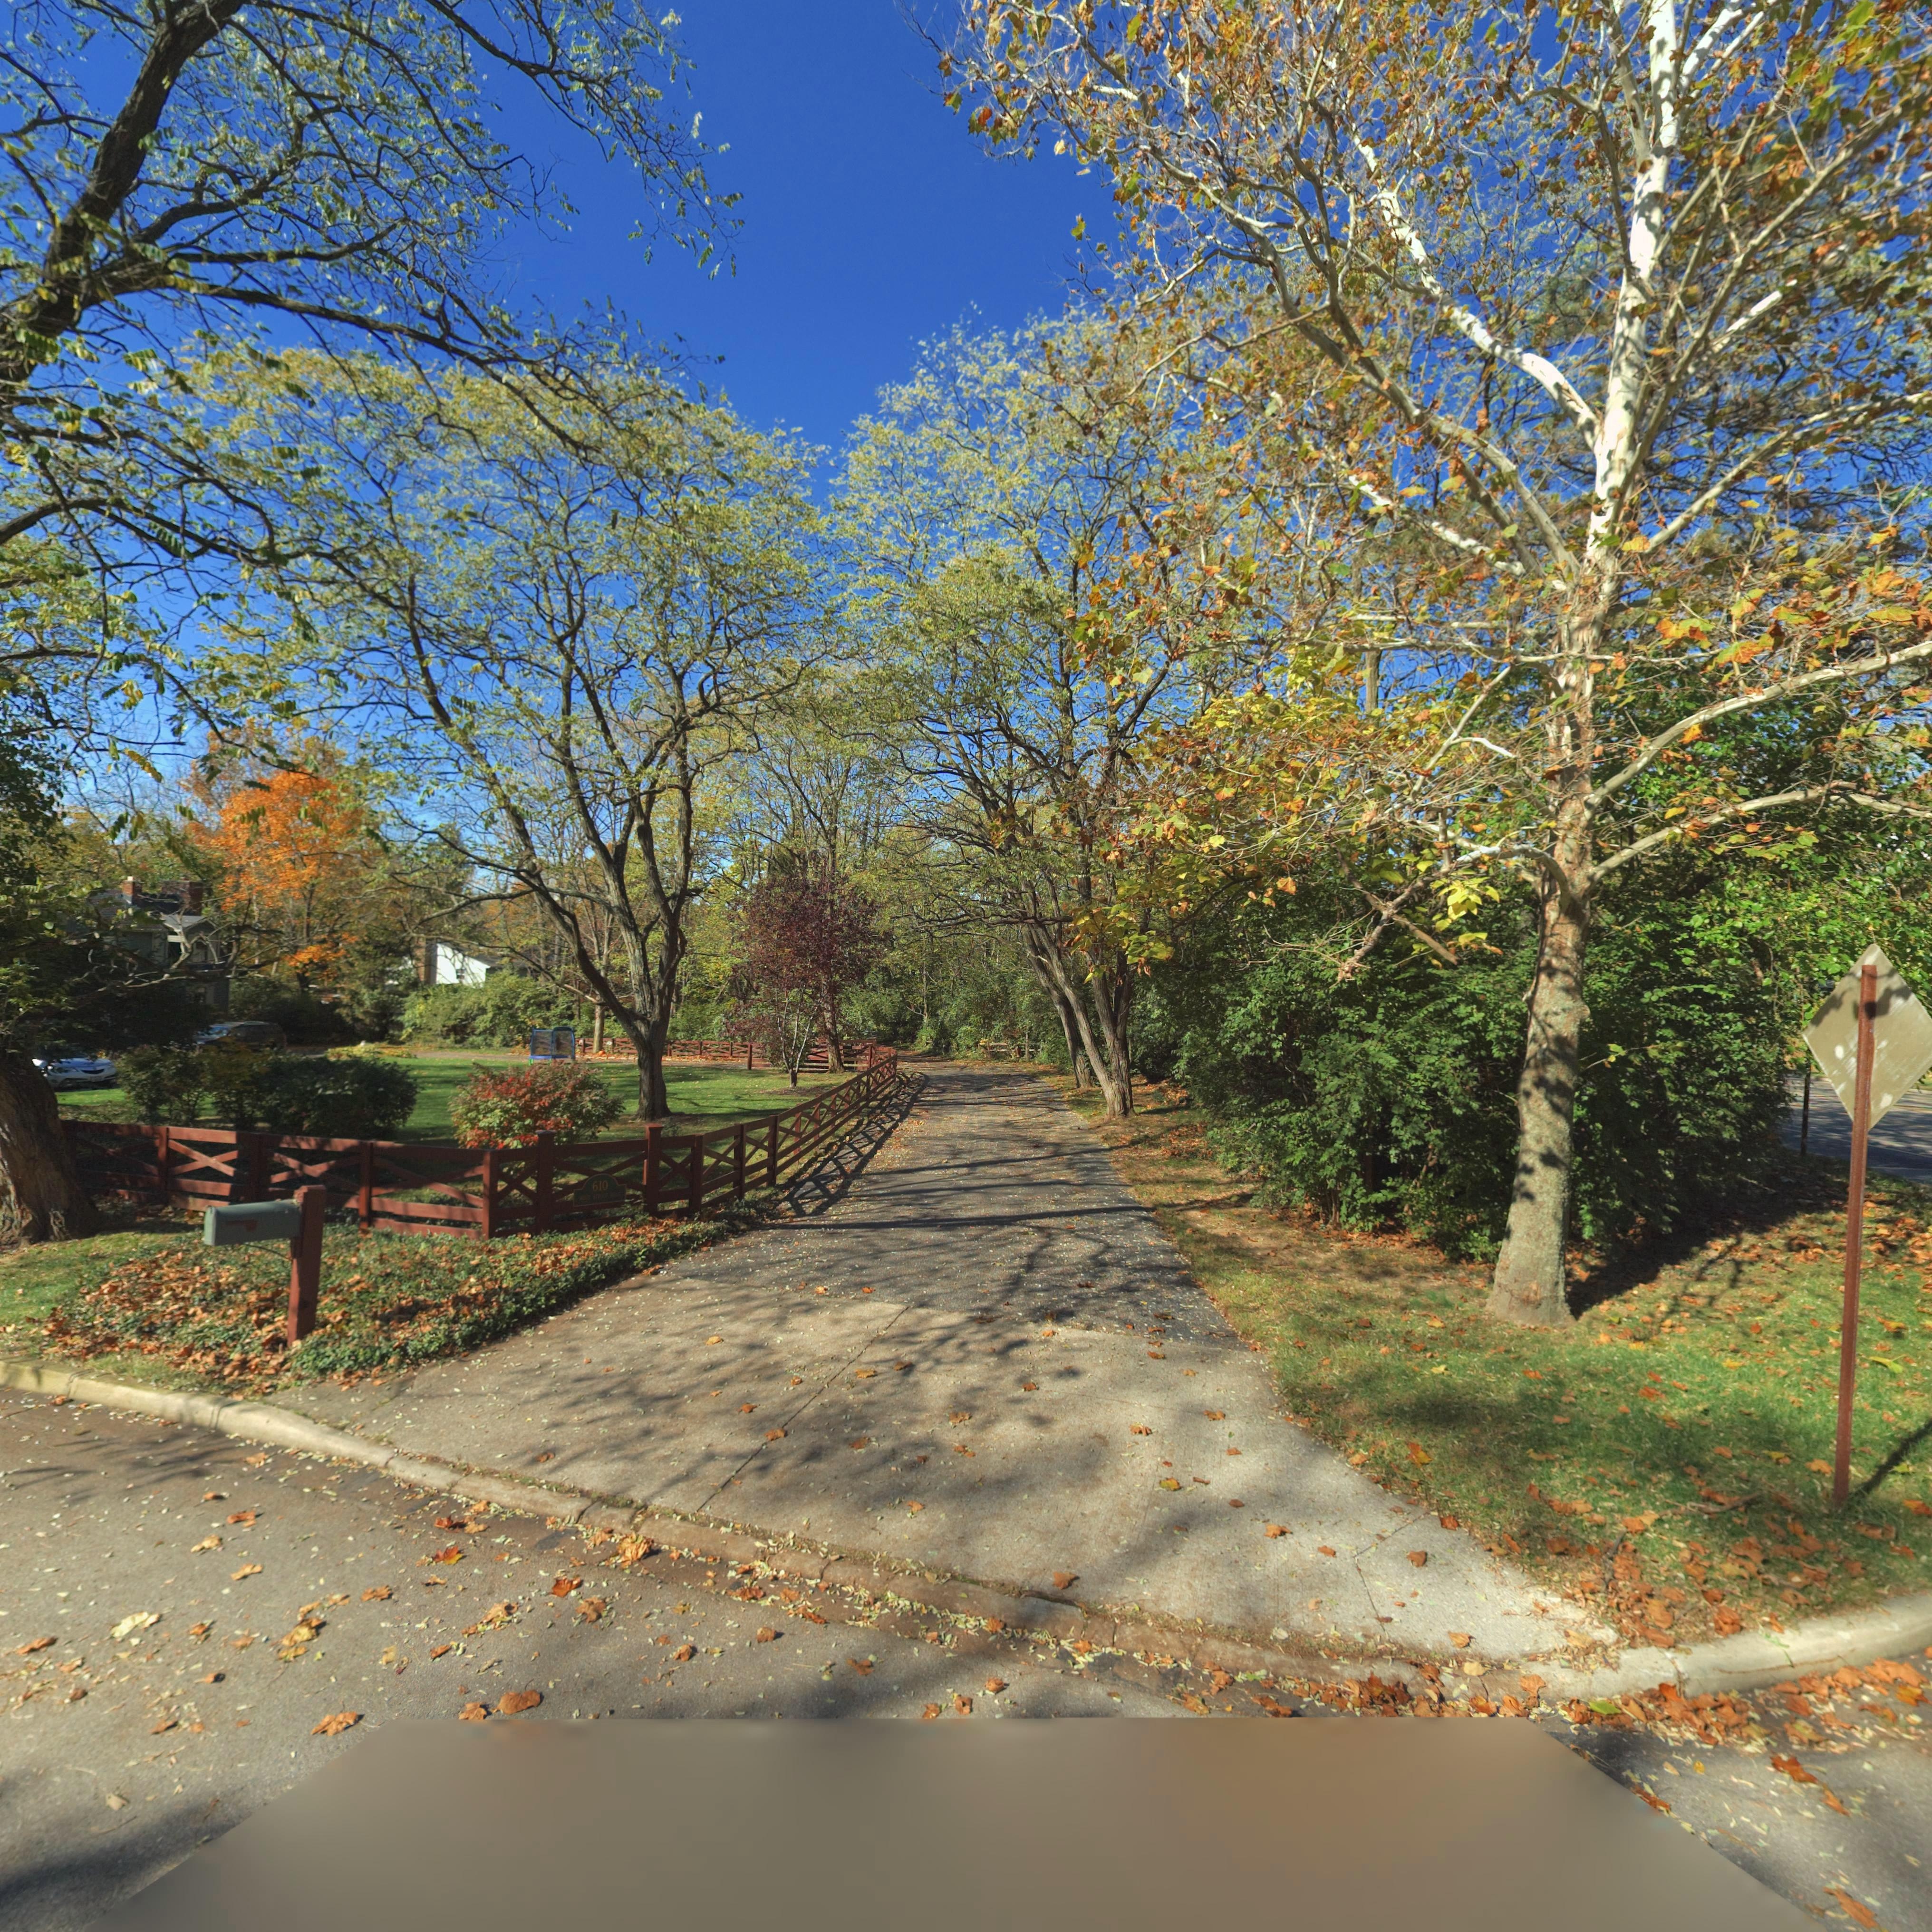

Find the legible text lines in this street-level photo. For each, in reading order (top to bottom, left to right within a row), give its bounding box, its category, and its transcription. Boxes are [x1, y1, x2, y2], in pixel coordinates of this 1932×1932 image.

[591, 1179, 609, 1193] StreetNumber: 610